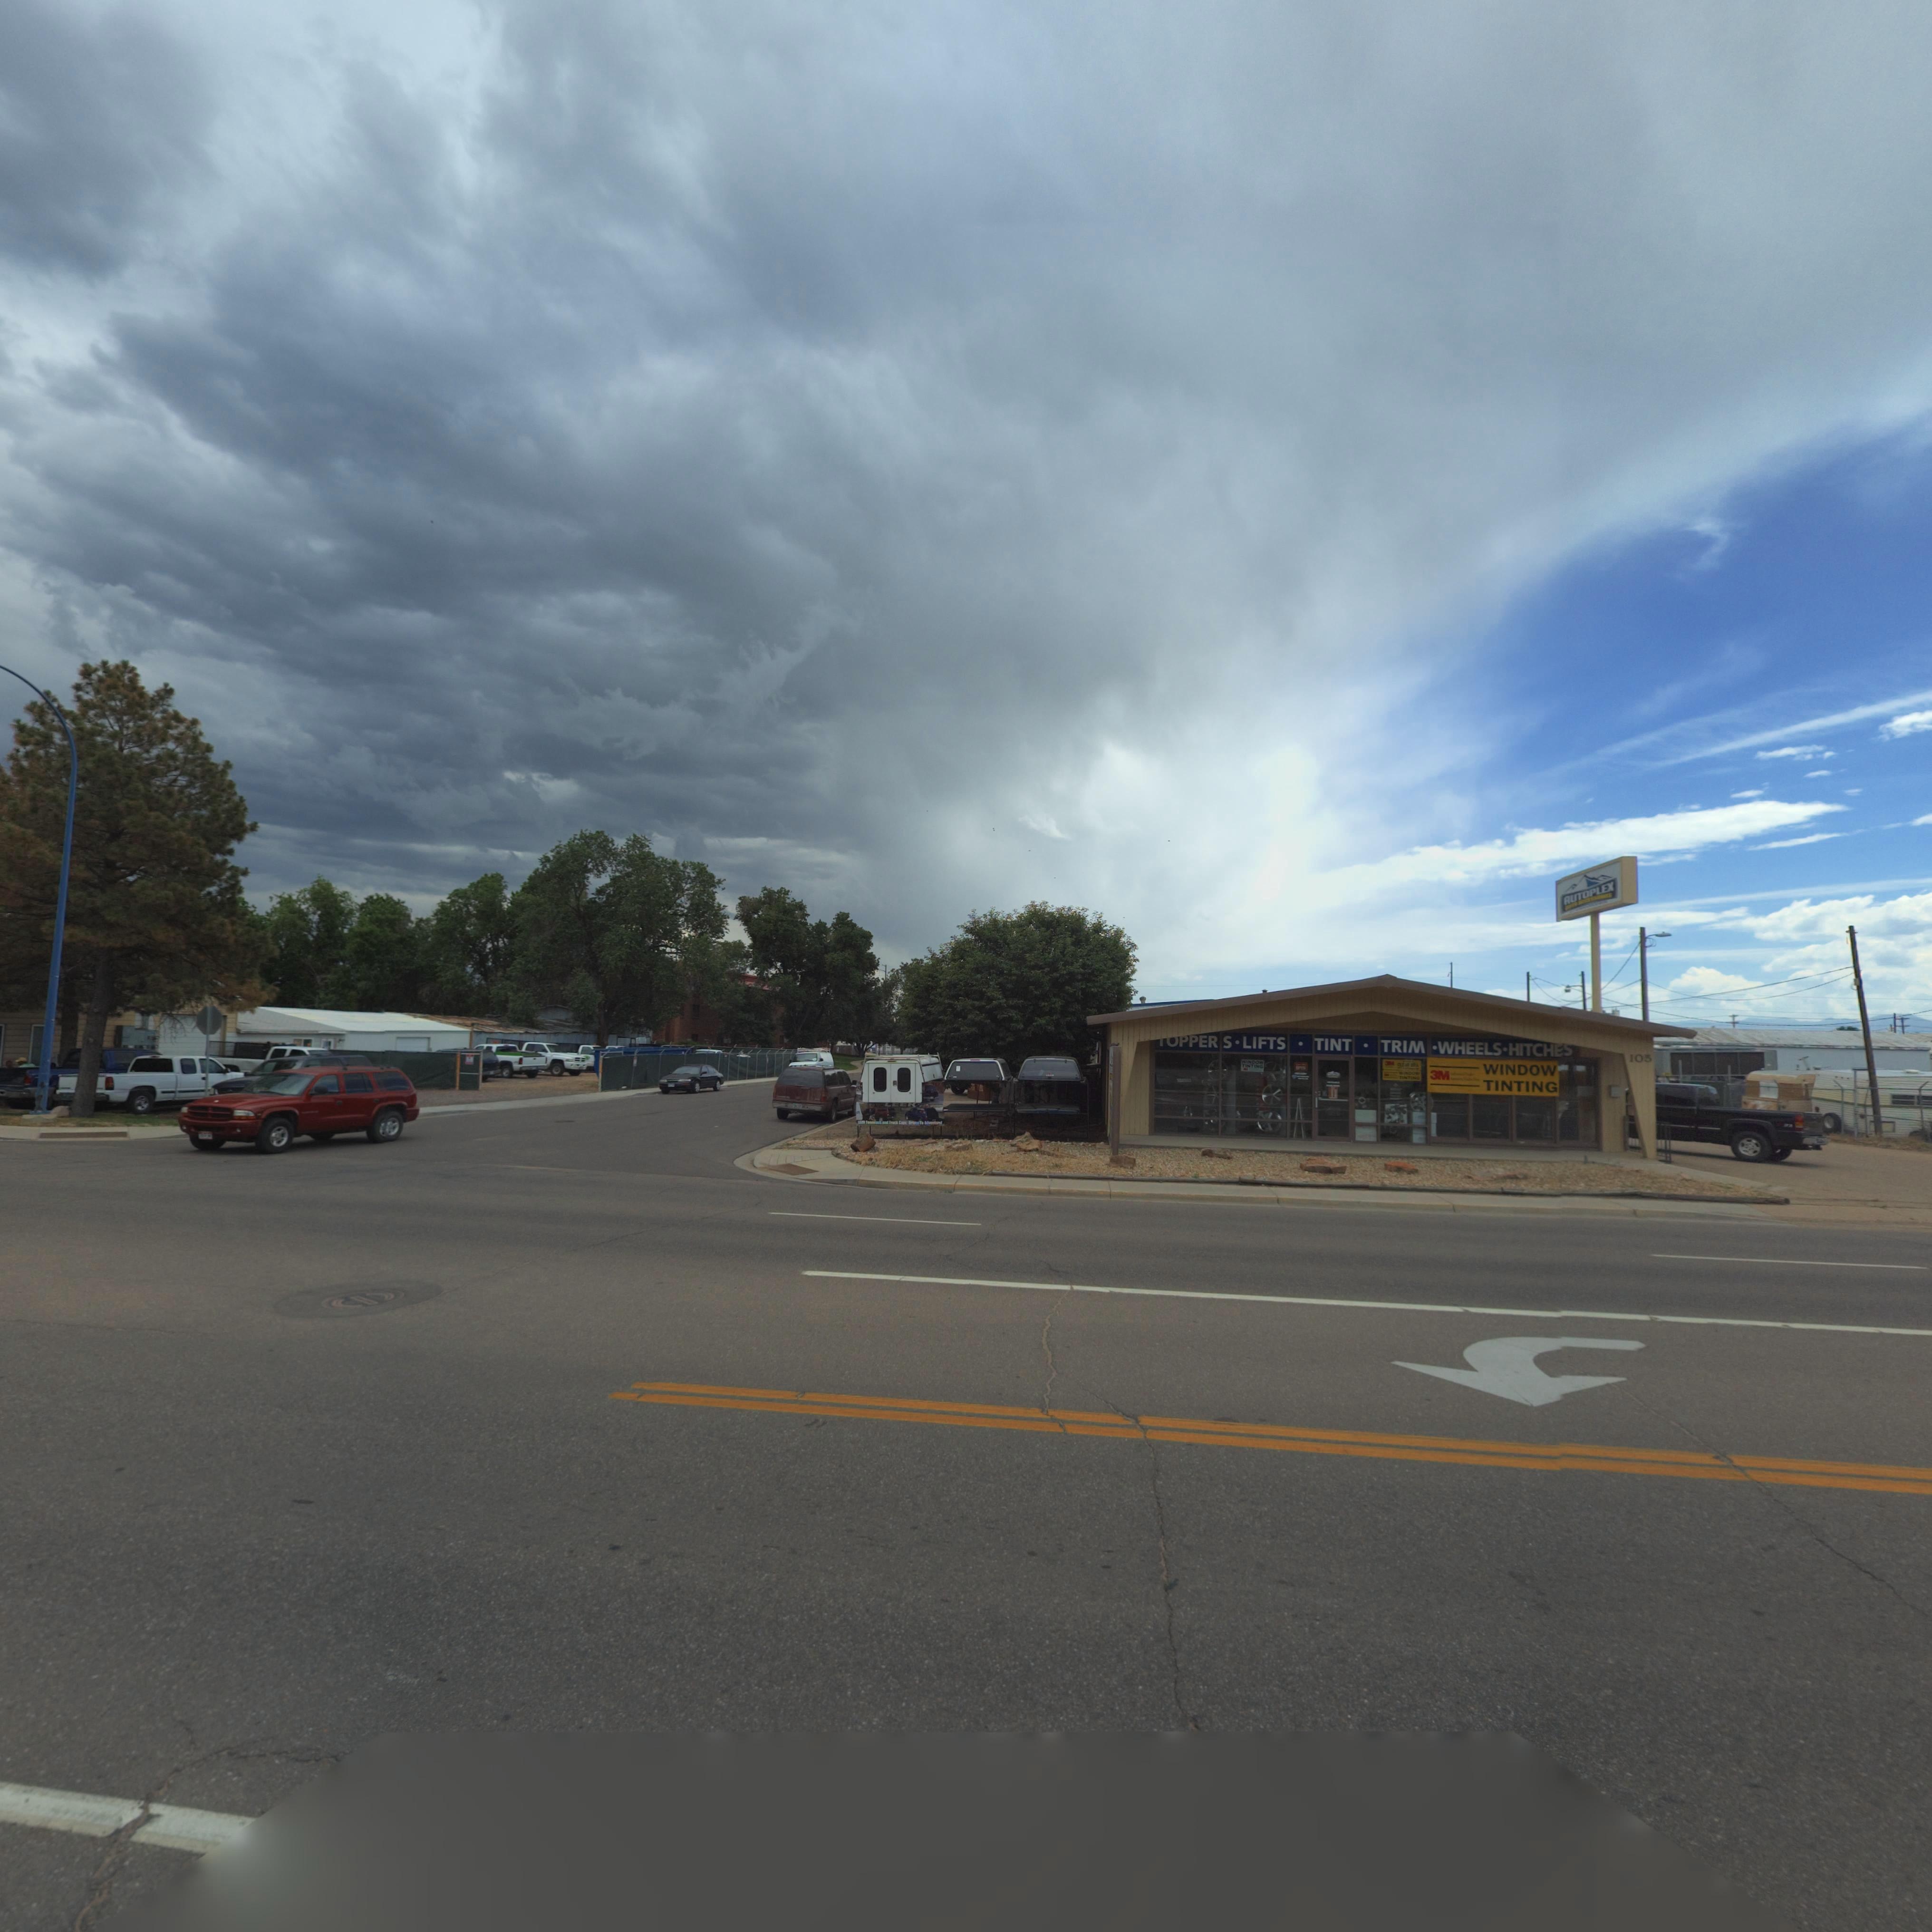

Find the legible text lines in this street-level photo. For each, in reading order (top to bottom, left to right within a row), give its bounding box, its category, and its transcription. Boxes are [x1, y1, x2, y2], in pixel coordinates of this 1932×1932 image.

[1564, 892, 1612, 911] BusinessName: AUTO ACCESSORIES
[1563, 881, 1614, 905] BusinessName: AUTOPLEX
[1629, 1053, 1652, 1063] StreetNumber: 105